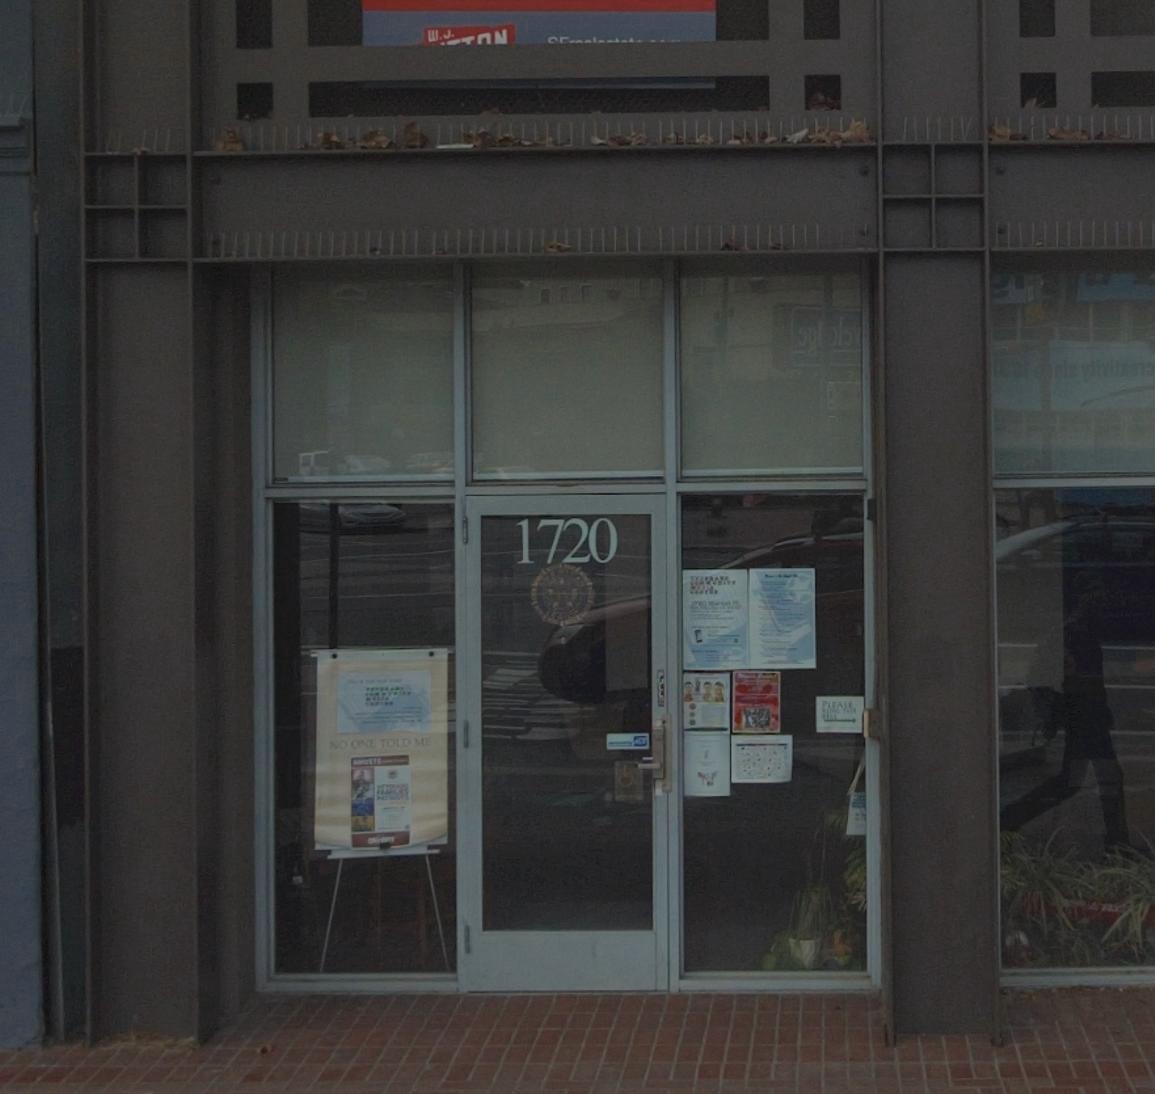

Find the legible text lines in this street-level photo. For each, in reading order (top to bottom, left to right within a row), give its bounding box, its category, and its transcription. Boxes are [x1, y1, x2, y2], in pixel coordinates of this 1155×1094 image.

[514, 515, 620, 566] StreetNumber: 1720
[656, 669, 665, 699] None: PULL
[821, 699, 854, 710] None: PLEASE
[328, 734, 432, 753] None: NO ONE TOLD ME